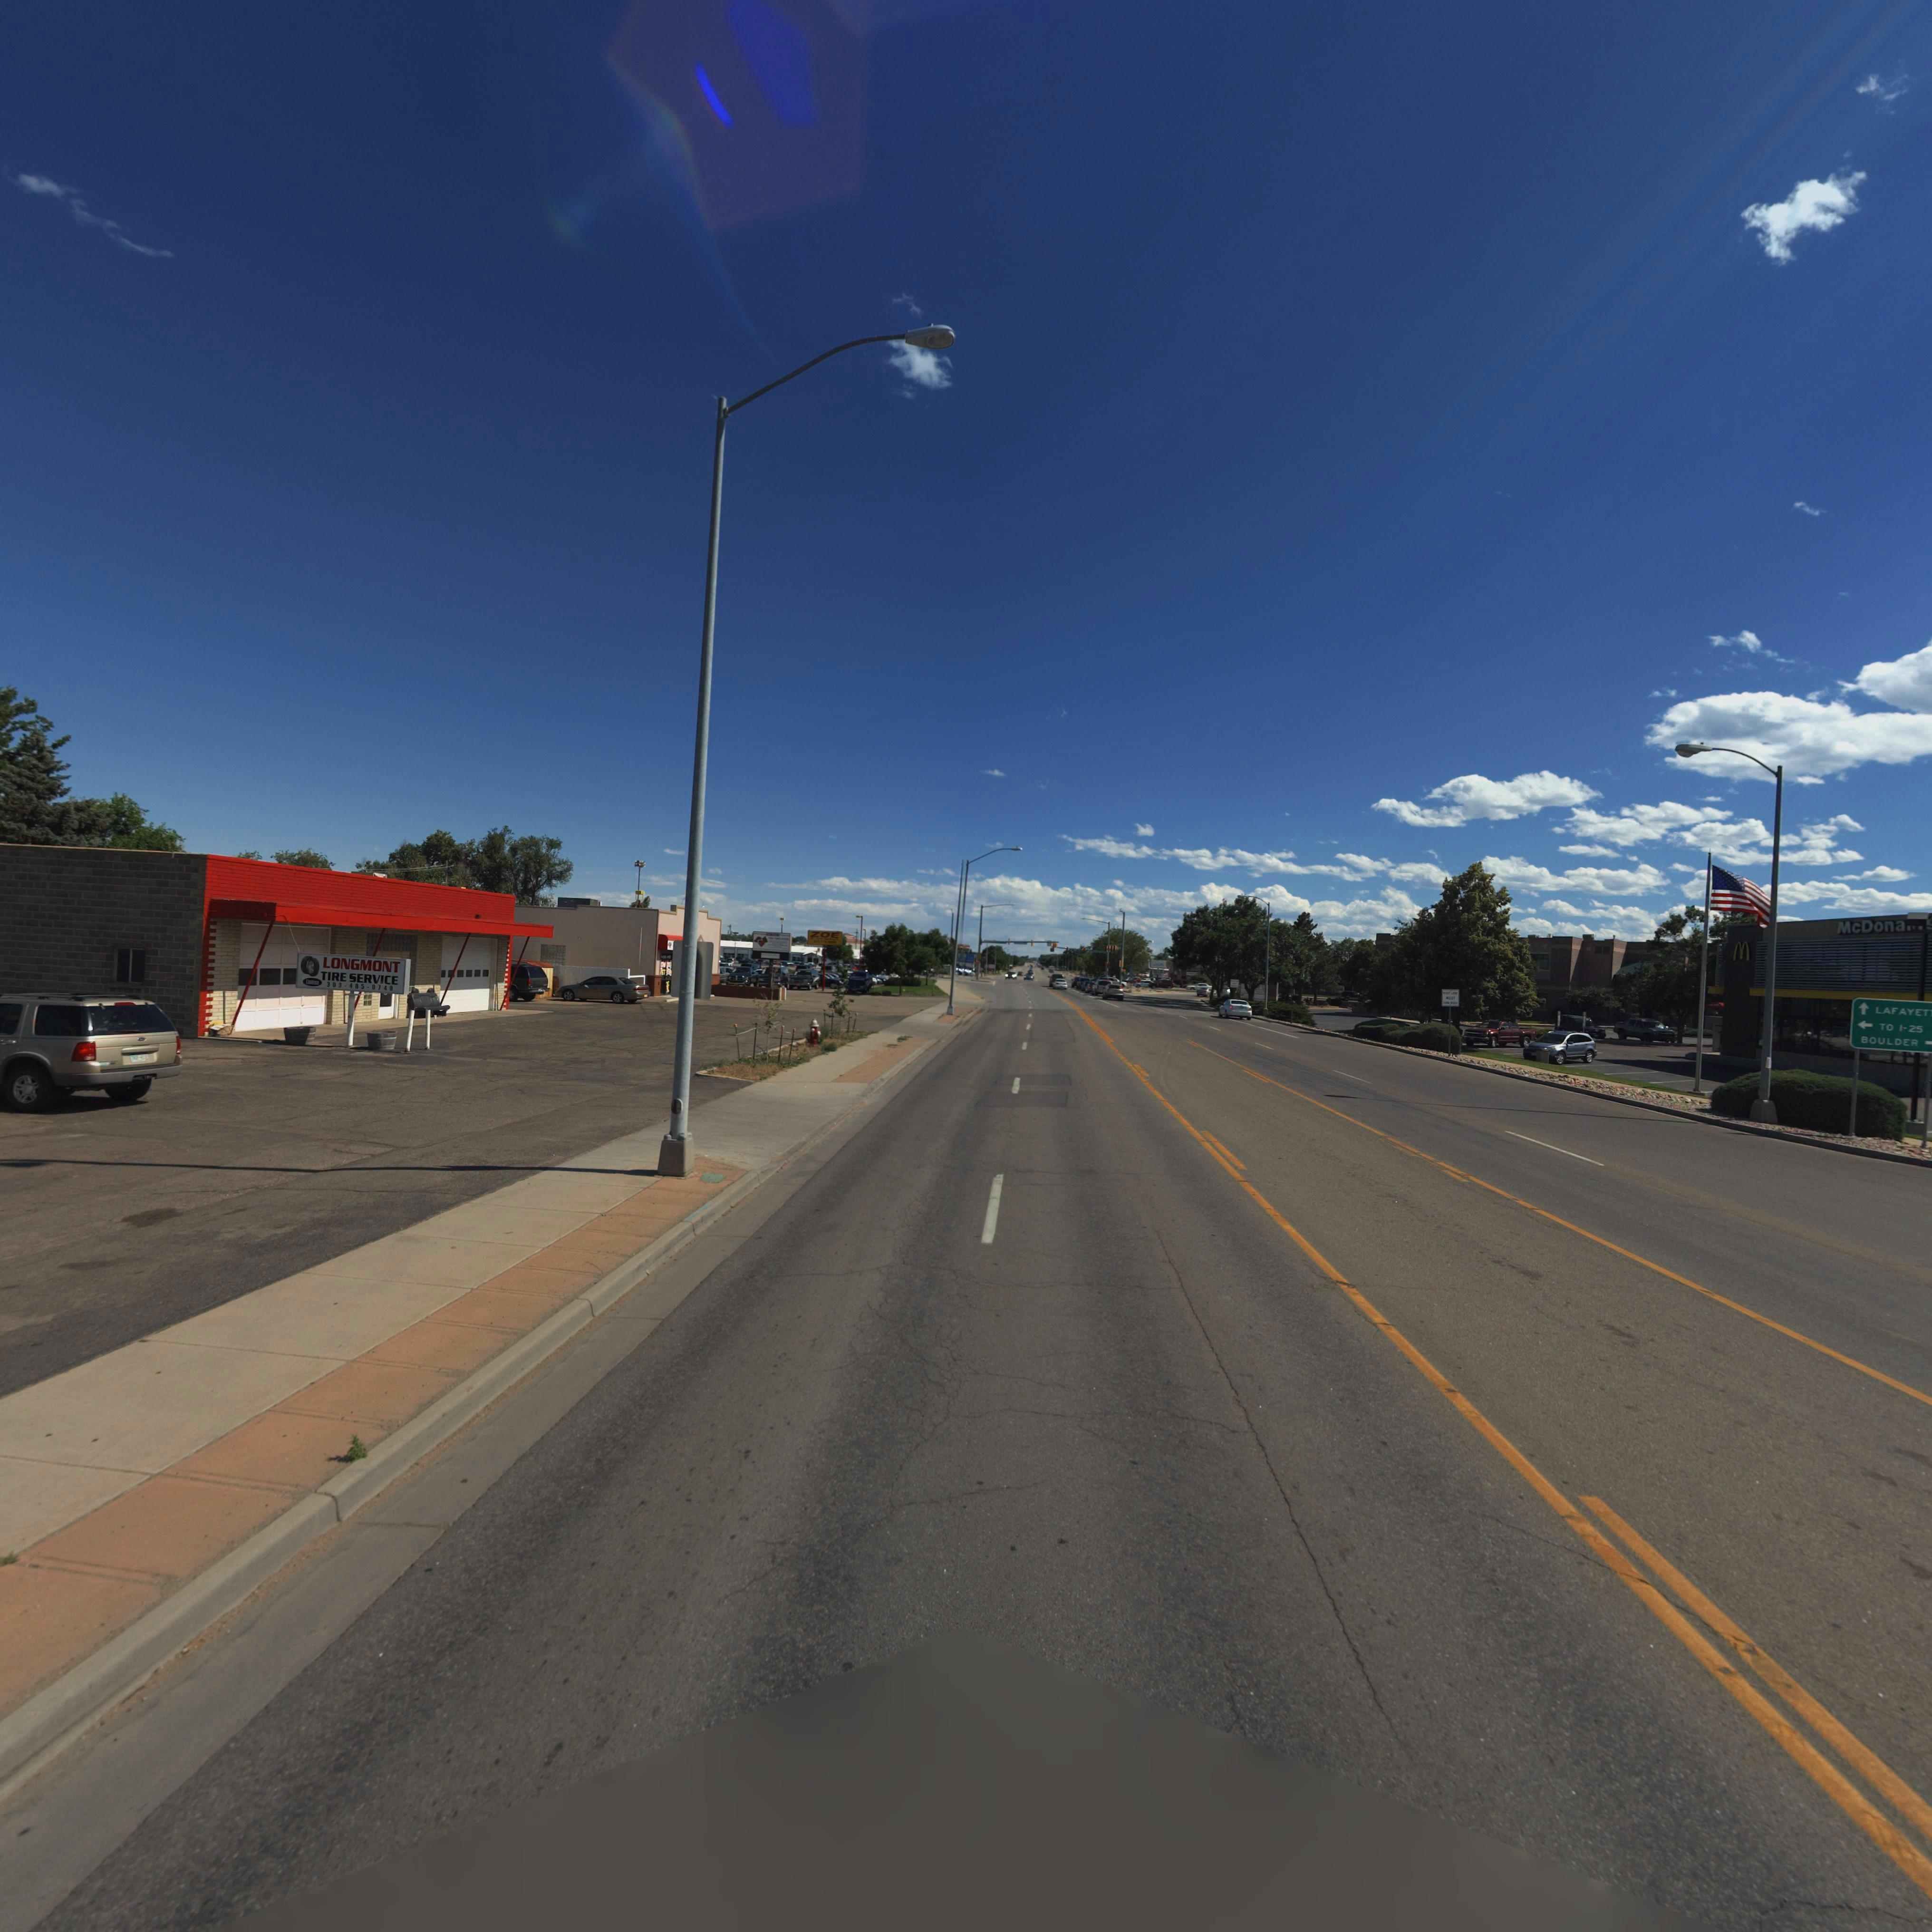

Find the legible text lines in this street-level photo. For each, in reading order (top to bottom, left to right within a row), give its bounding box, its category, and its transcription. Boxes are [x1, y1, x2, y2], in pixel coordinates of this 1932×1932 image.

[810, 931, 840, 938] BusinessName: ZOE
[1836, 919, 1905, 935] BusinessName: McDona
[322, 956, 401, 973] BusinessName: LONGMONT
[320, 971, 399, 985] BusinessName: TIRE SERVICE